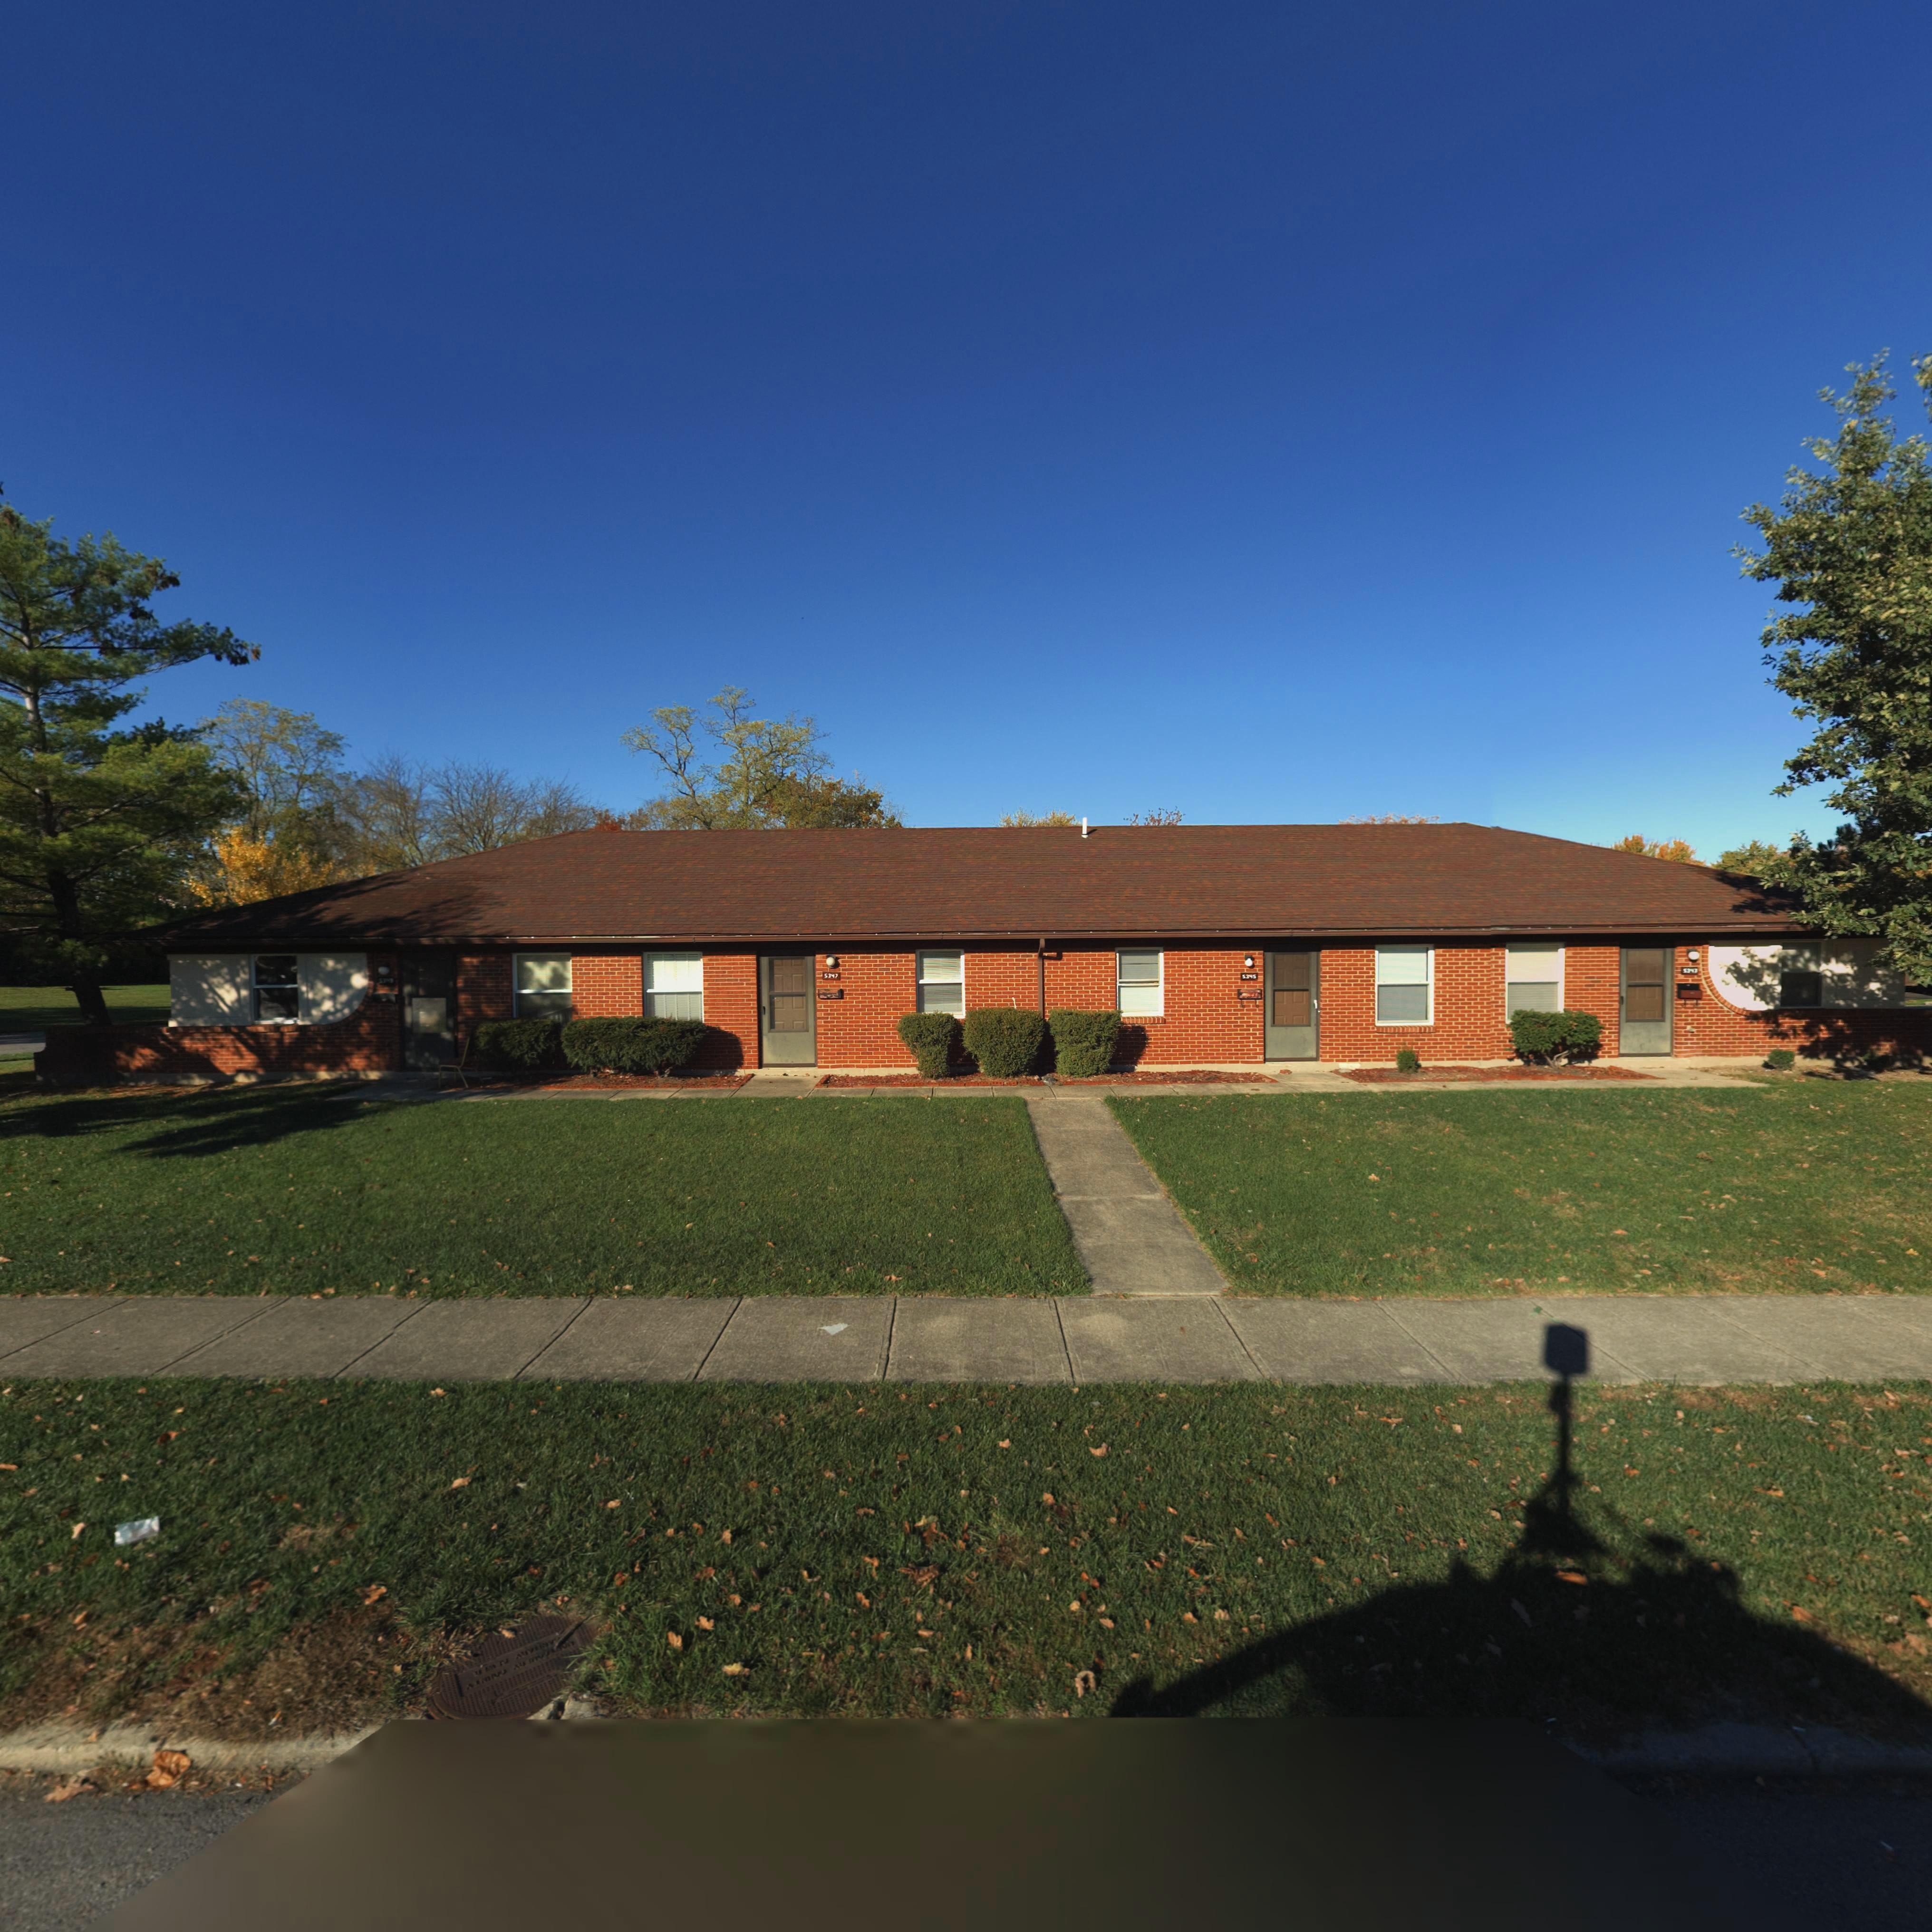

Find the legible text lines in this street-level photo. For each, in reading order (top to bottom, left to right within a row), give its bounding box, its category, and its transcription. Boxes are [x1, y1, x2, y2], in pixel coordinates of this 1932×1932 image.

[1682, 967, 1698, 974] StreetNumber: 5343
[823, 973, 838, 979] StreetNumber: 5347
[1241, 974, 1257, 979] StreetNumber: 5345
[378, 977, 394, 984] StreetNumber: 5349